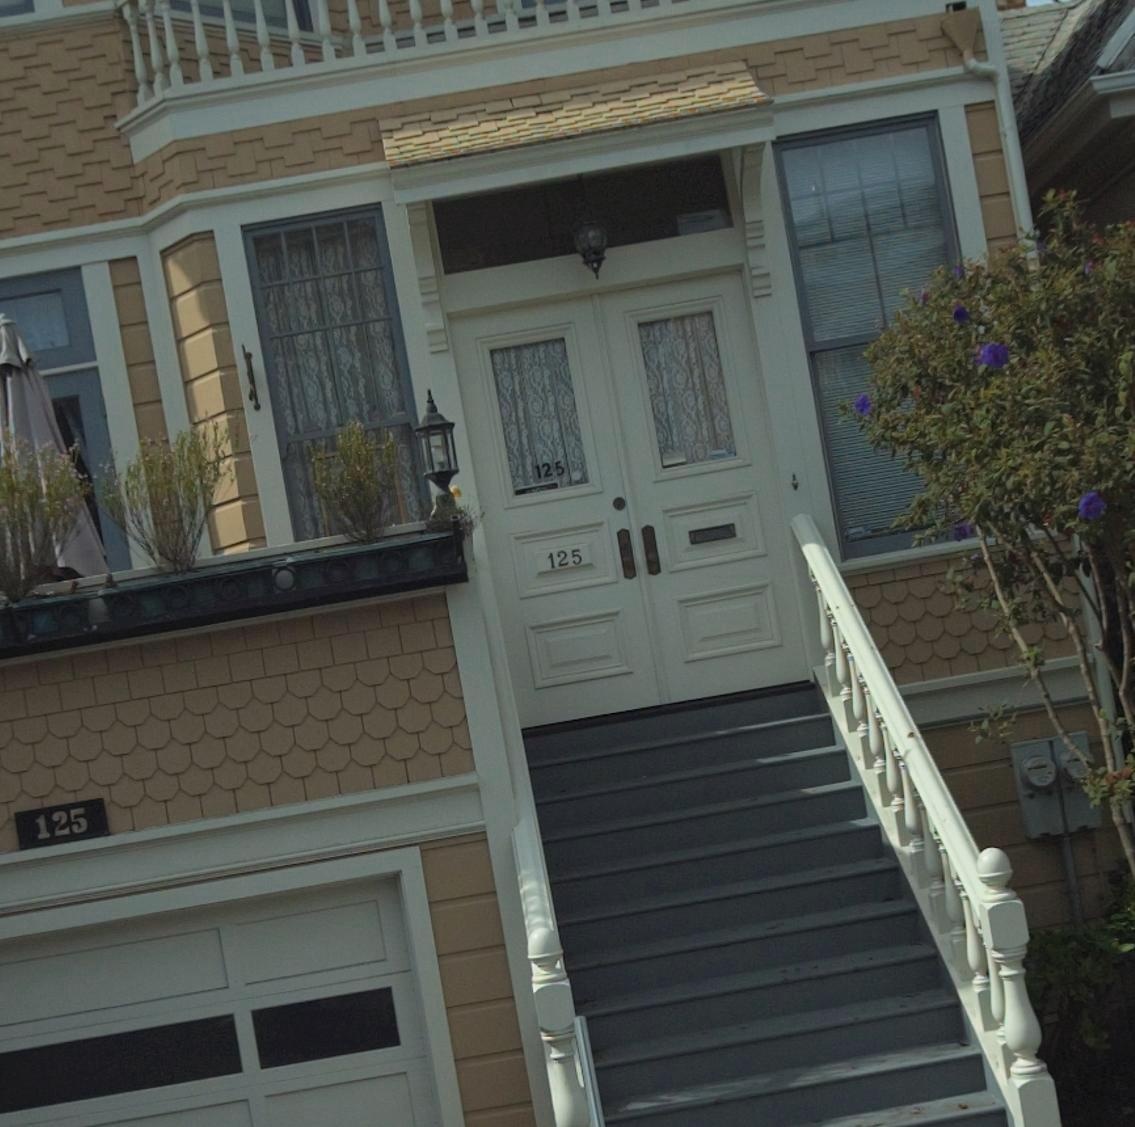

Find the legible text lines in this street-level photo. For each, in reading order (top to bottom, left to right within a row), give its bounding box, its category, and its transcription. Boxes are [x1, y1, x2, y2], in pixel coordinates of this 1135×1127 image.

[531, 457, 568, 482] StreetNumber: 125
[544, 544, 585, 573] StreetNumber: 125
[32, 803, 92, 843] StreetNumber: 125